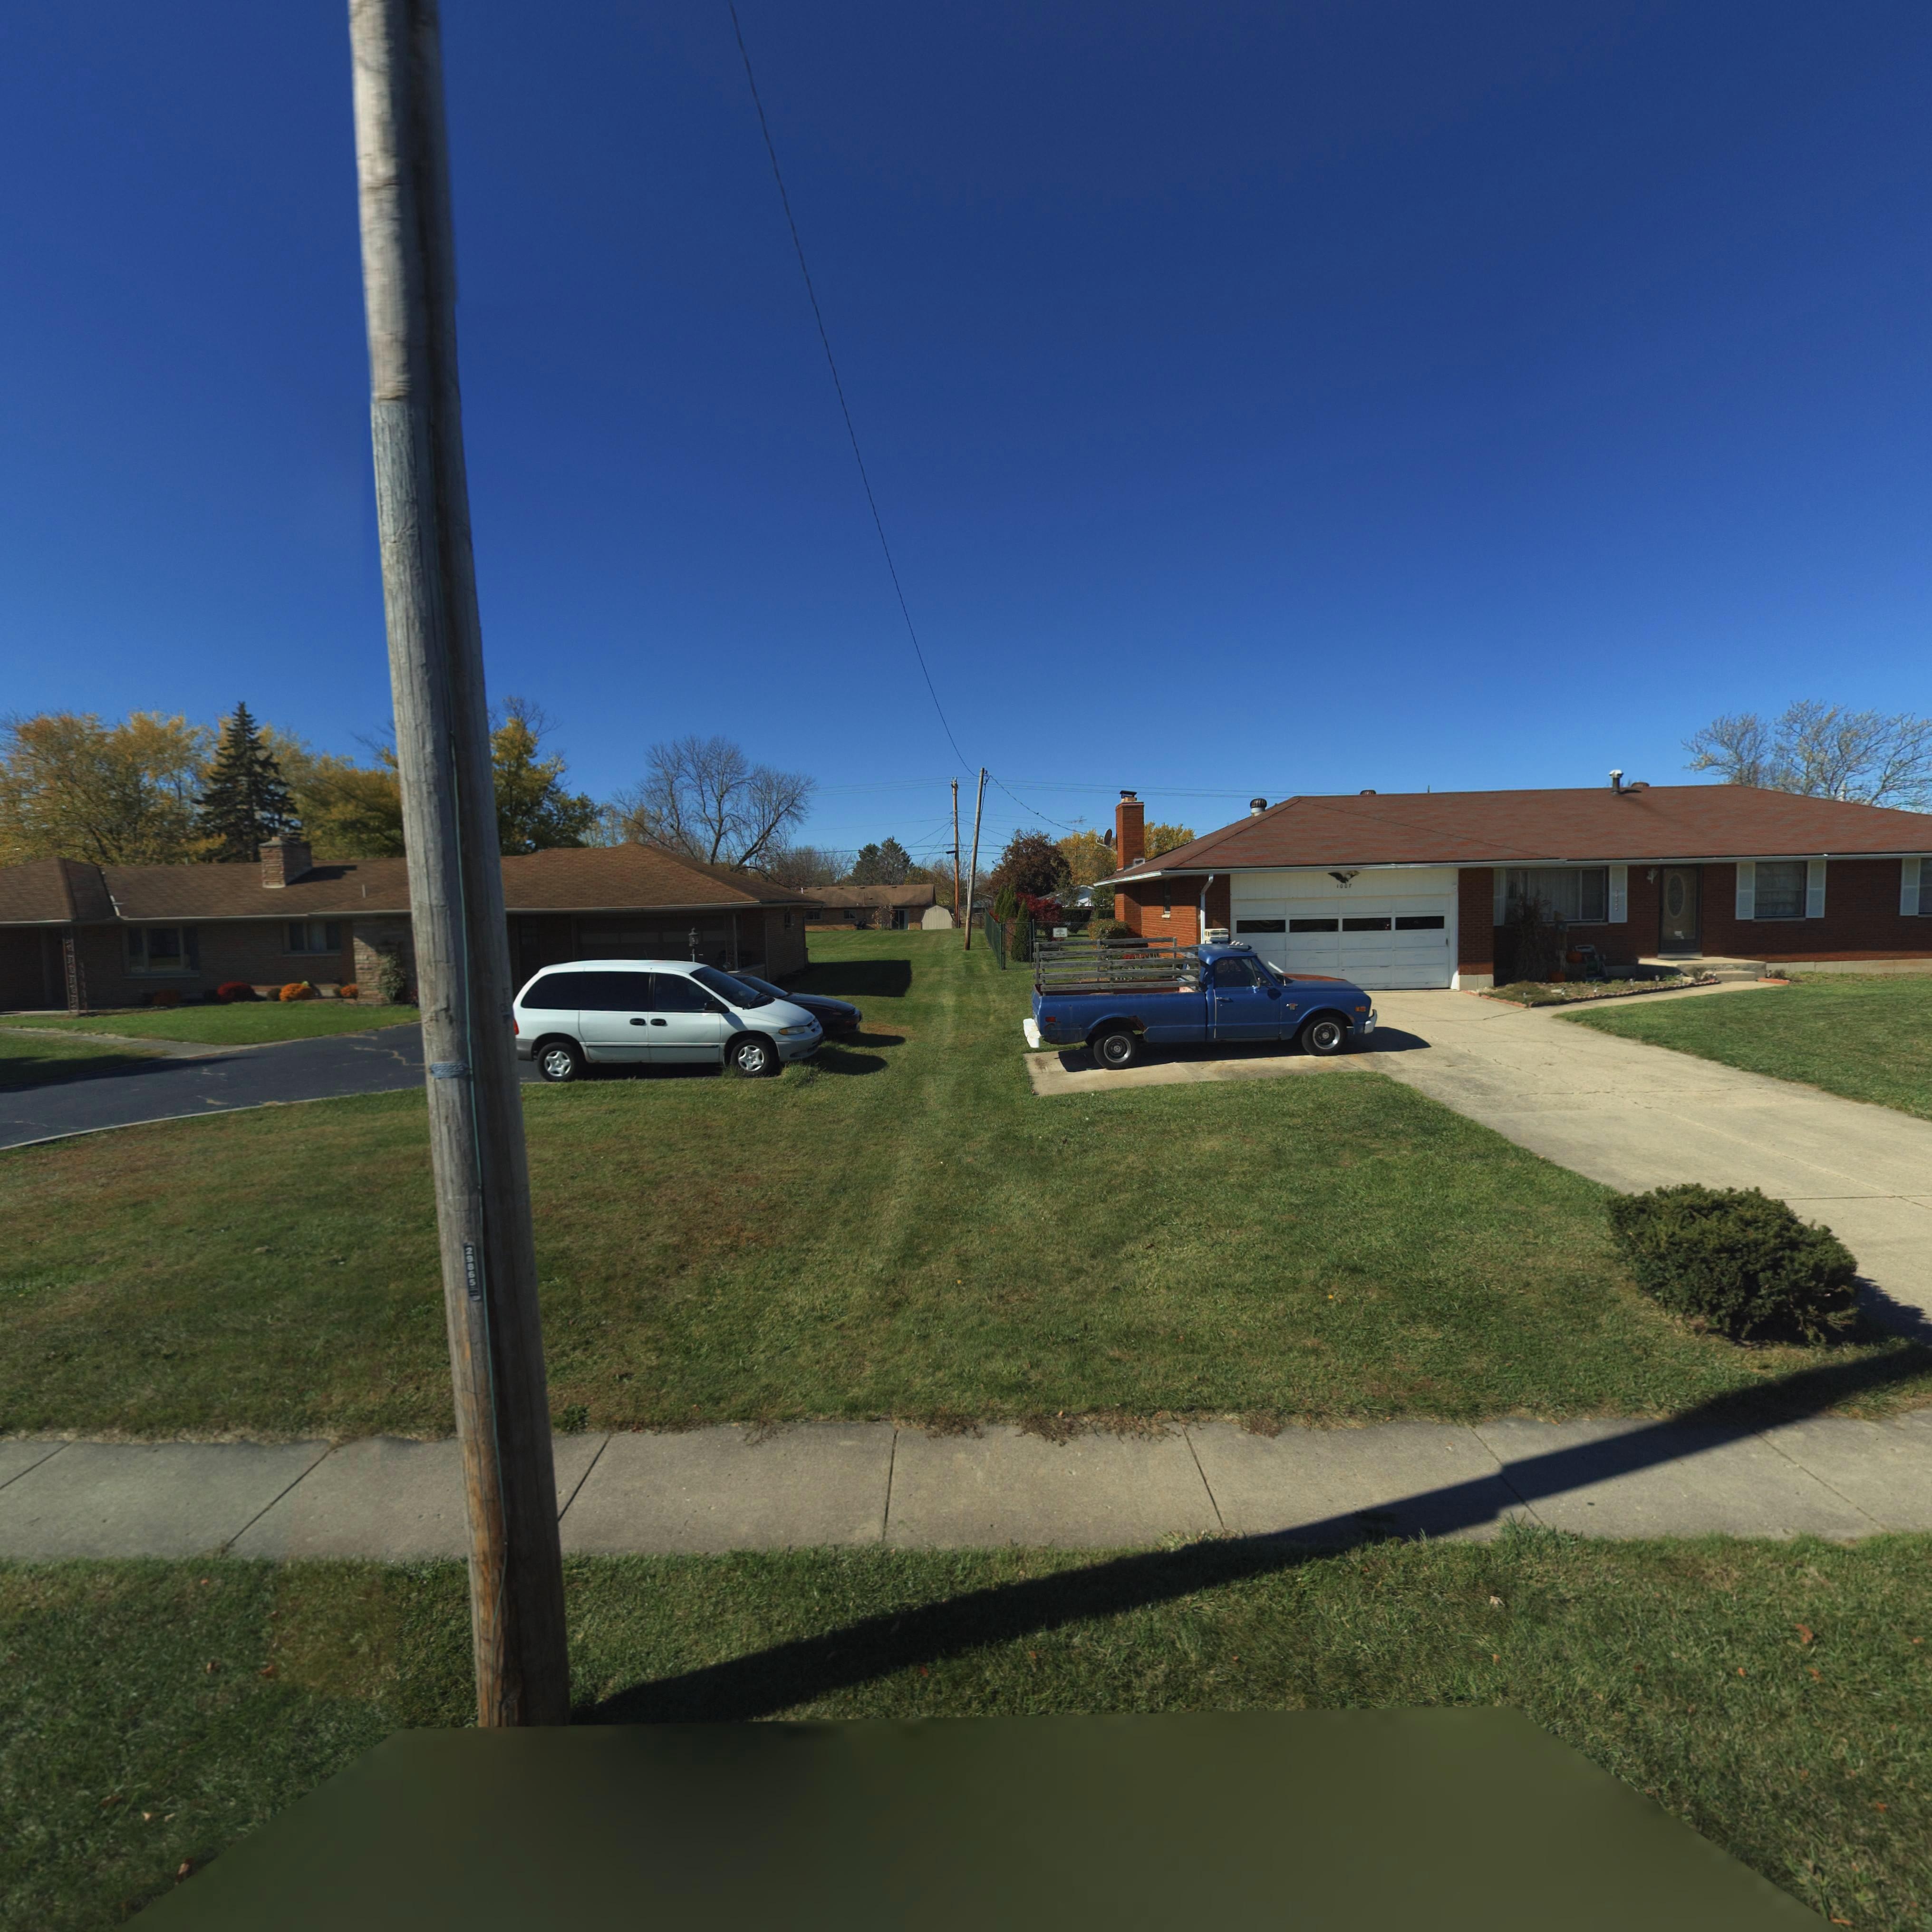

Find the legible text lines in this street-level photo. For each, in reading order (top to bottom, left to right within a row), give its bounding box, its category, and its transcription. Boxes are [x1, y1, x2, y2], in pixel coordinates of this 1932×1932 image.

[1335, 882, 1353, 889] StreetNumber: 100*